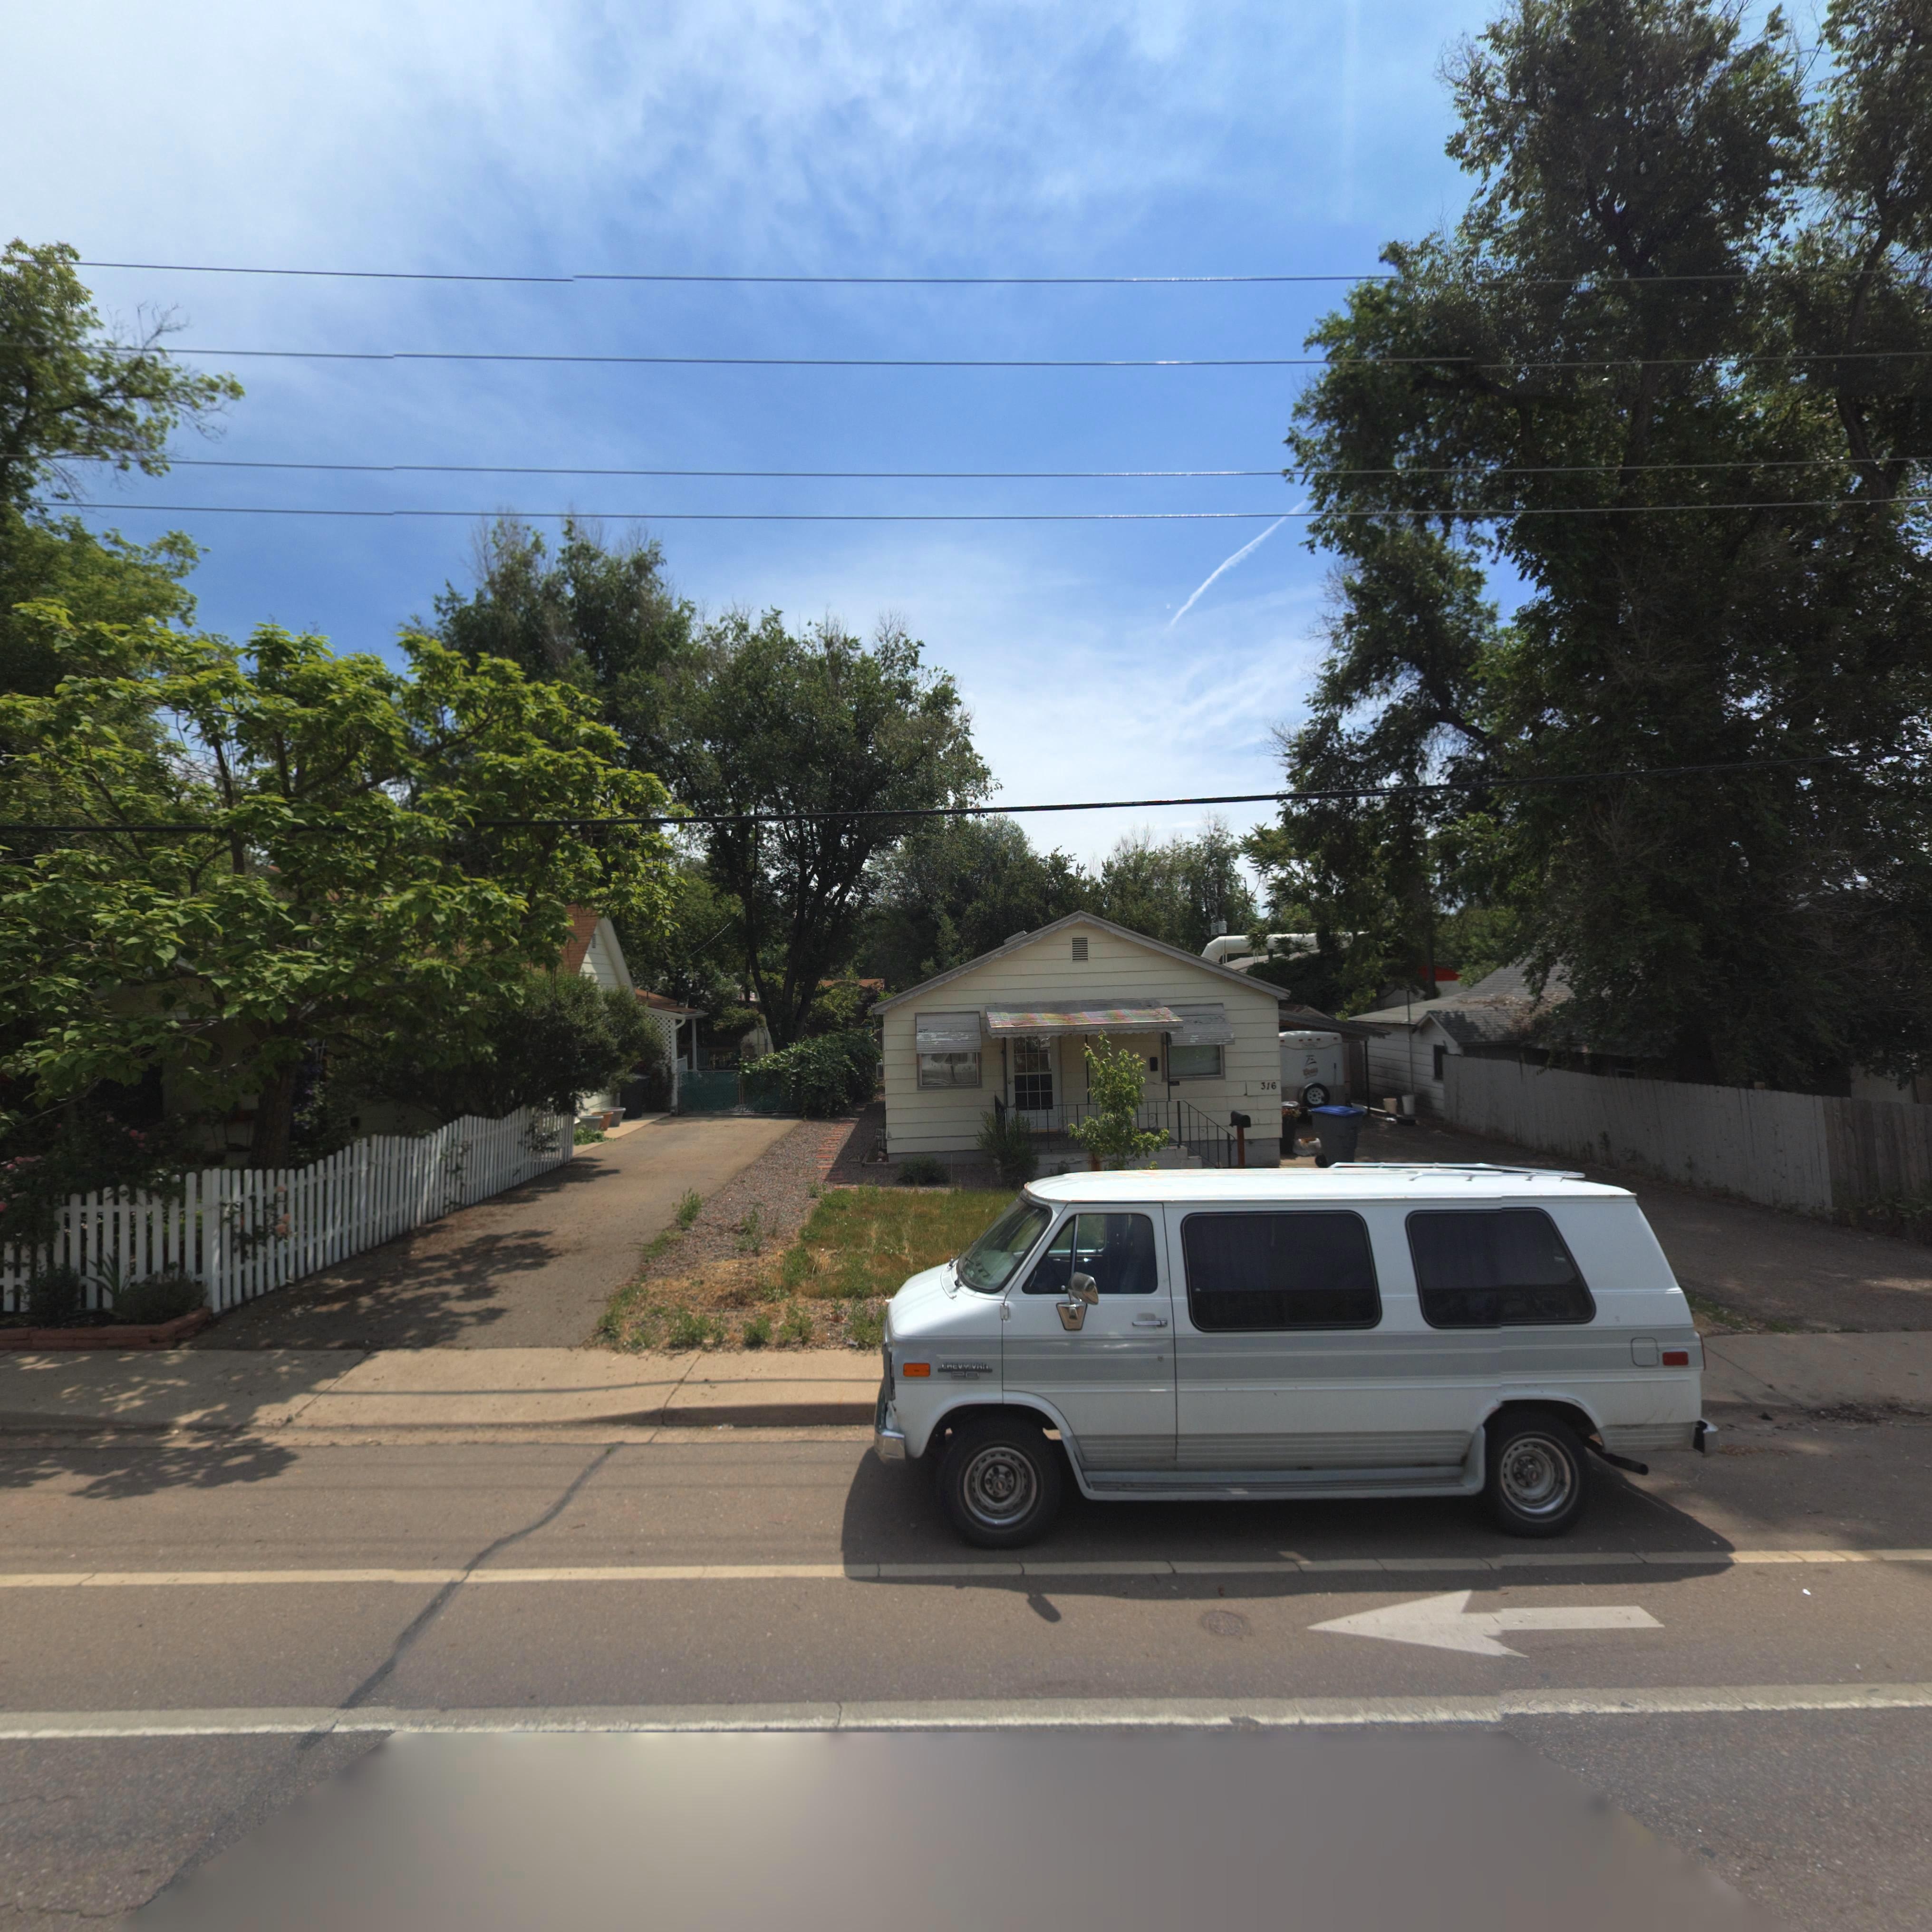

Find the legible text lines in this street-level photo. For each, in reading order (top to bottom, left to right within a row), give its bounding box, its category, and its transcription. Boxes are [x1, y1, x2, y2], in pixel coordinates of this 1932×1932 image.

[1260, 1081, 1276, 1090] StreetNumber: 316